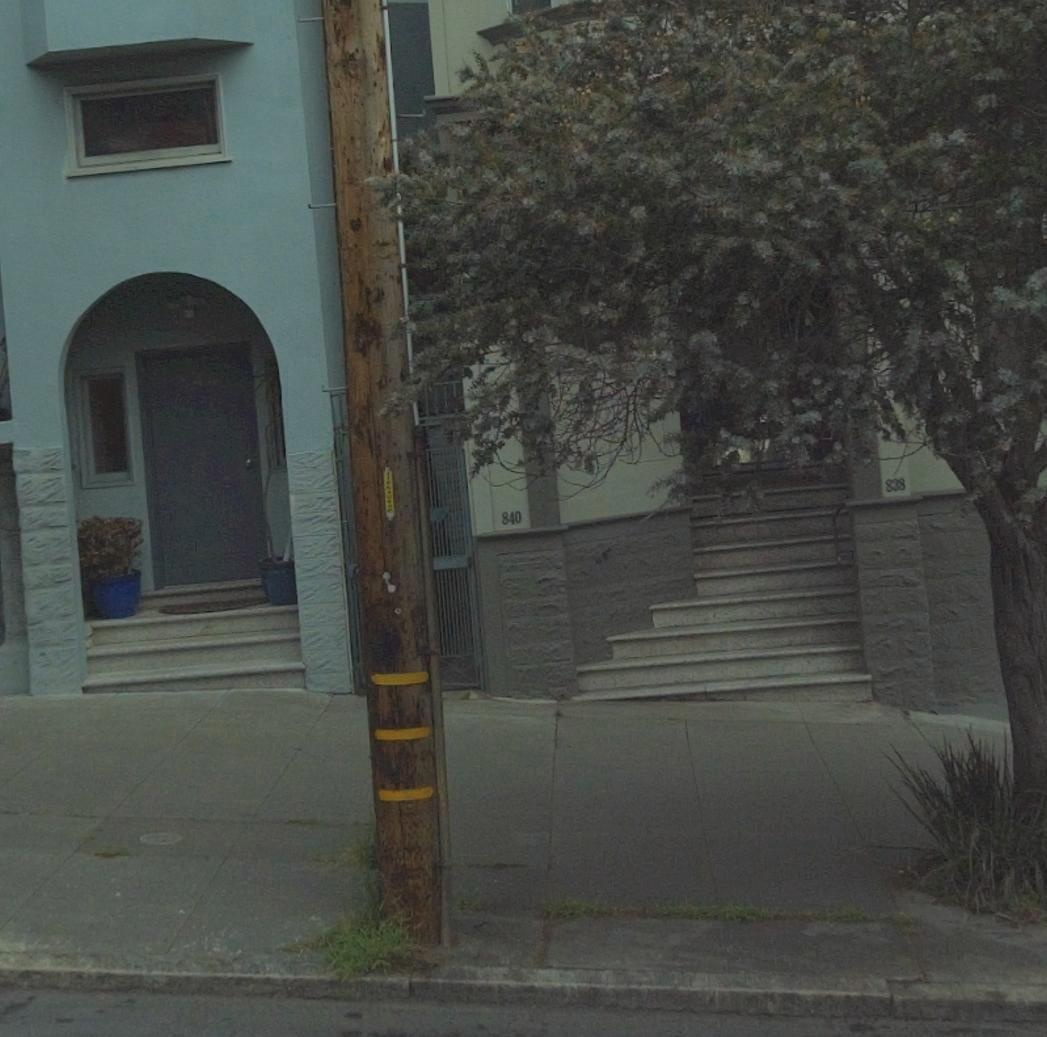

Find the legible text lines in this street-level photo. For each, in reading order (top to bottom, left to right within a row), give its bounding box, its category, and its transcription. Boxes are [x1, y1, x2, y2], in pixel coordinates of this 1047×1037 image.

[883, 476, 908, 494] StreetNumber: 838
[501, 509, 523, 526] StreetNumber: 840